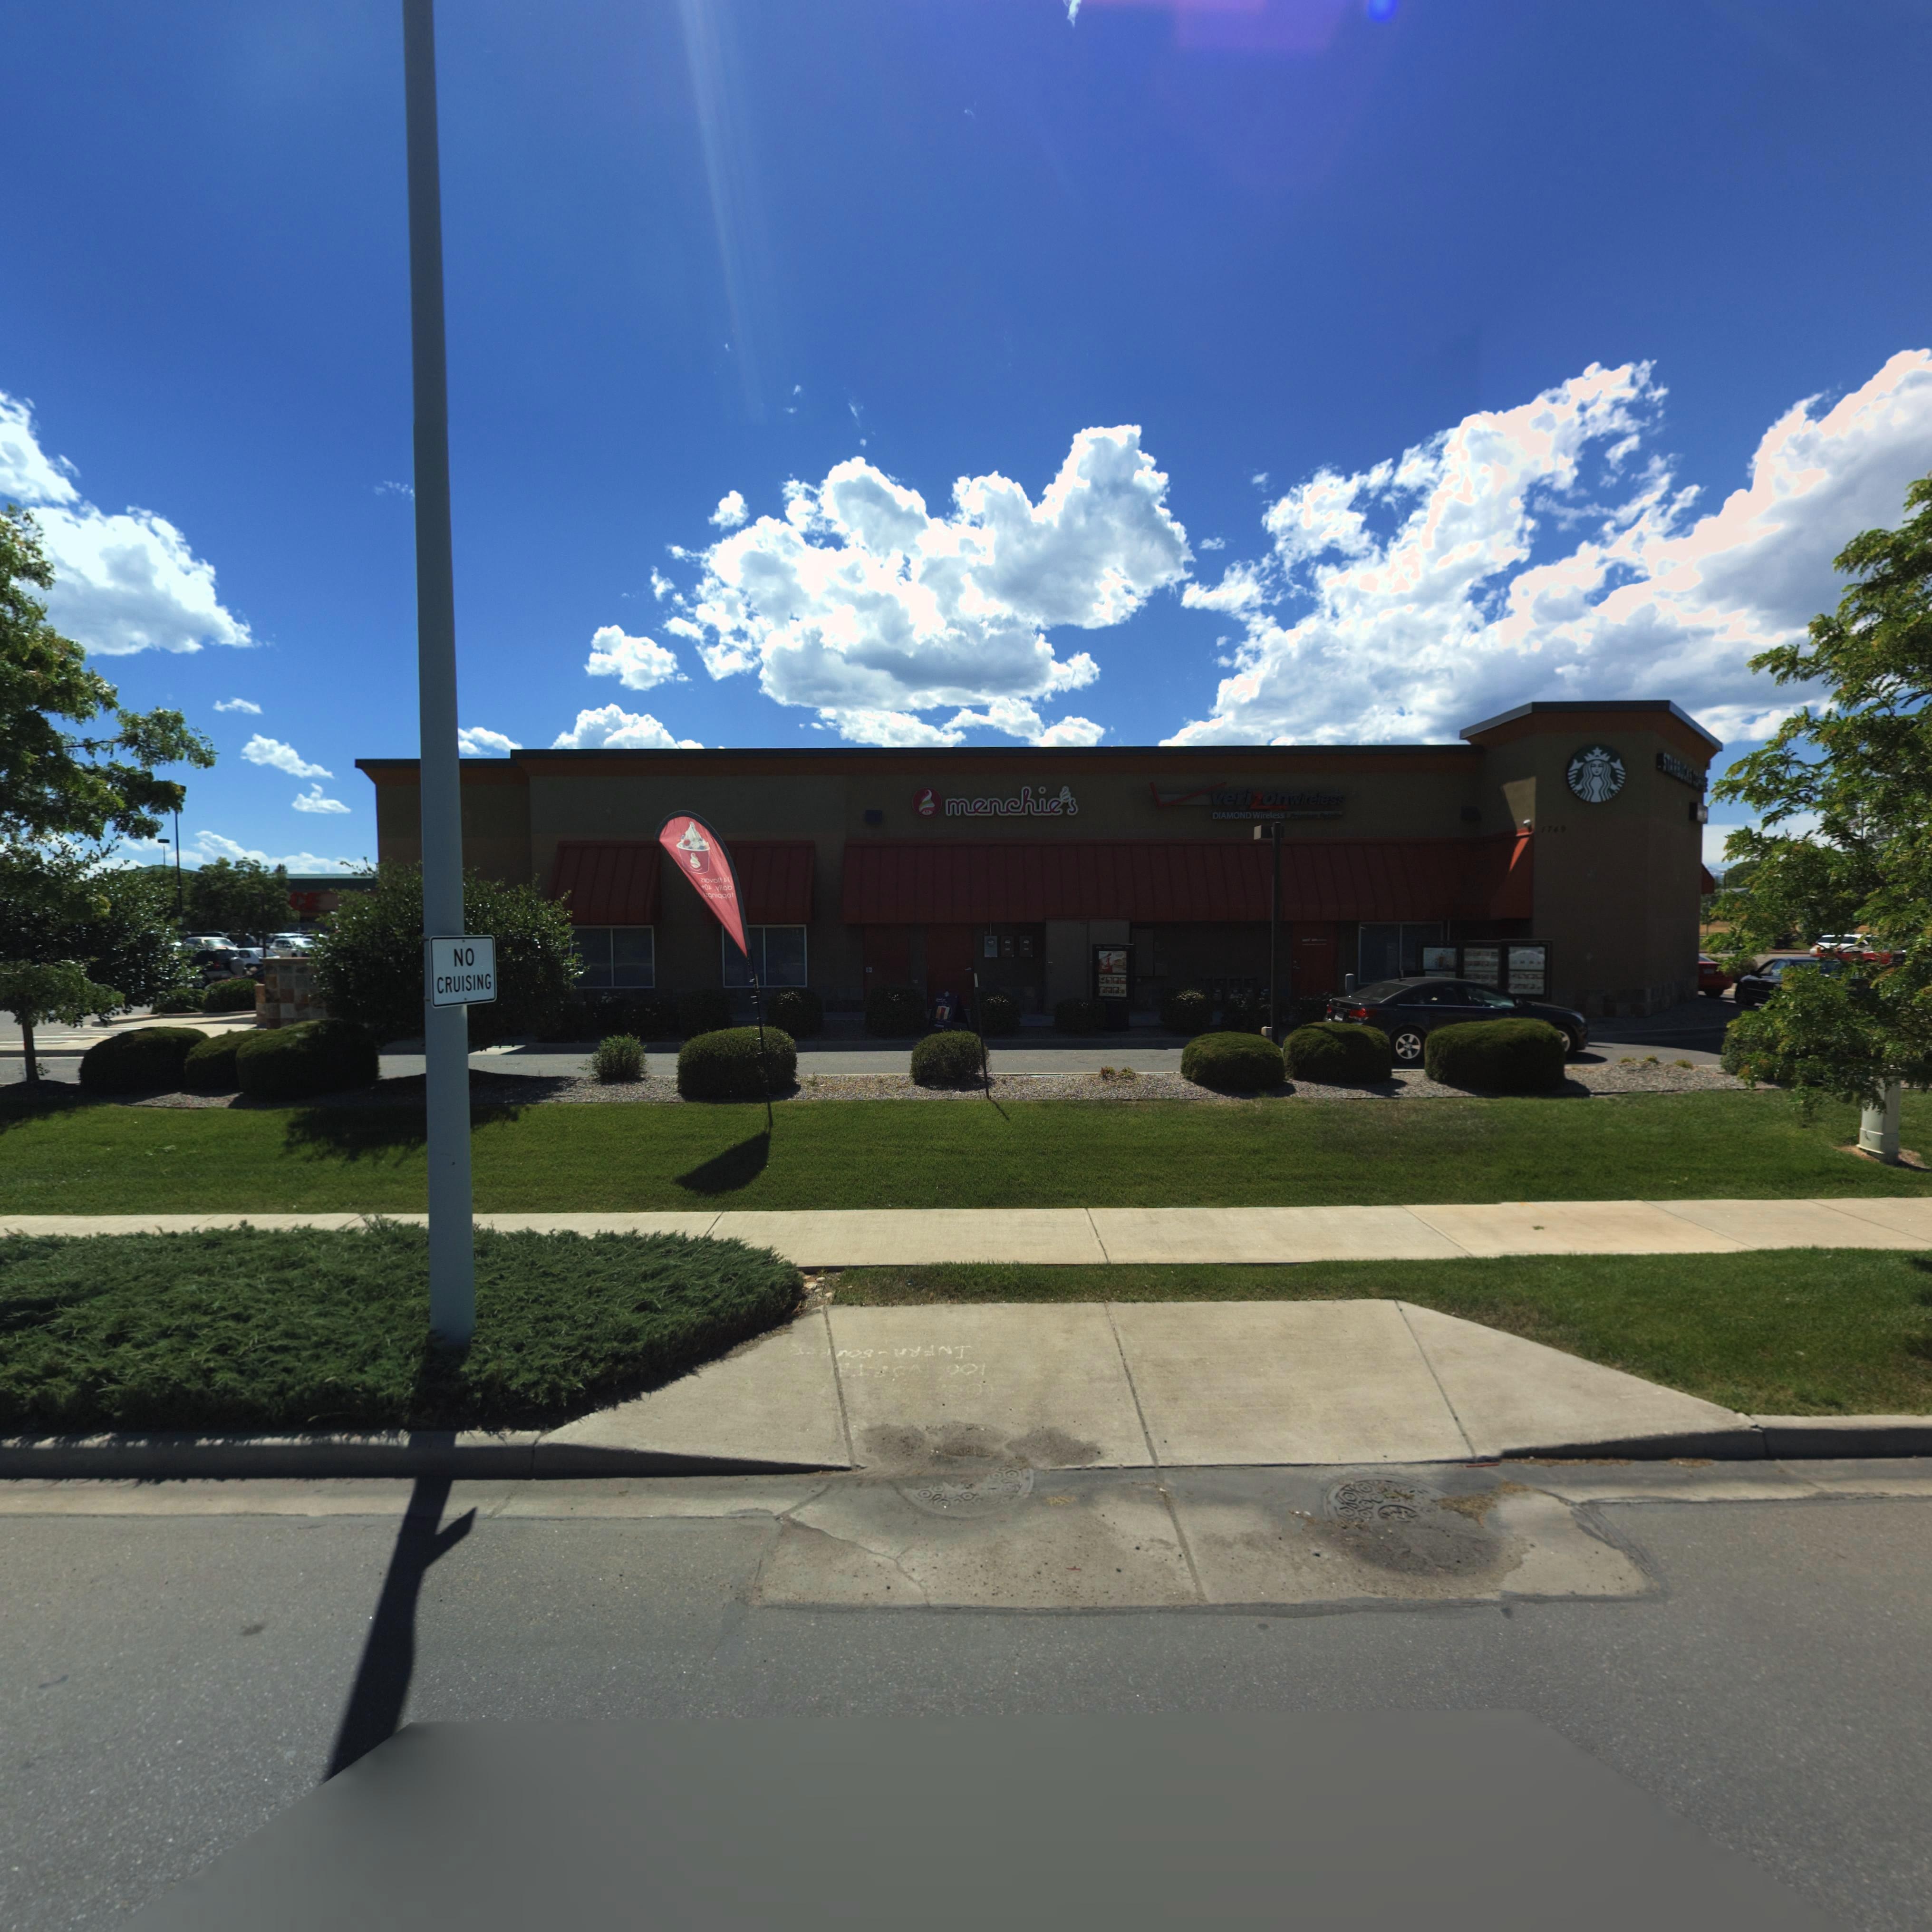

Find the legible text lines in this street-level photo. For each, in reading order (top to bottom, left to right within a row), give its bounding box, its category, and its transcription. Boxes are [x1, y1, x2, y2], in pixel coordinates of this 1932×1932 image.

[1660, 752, 1708, 791] BusinessName: STA*B***S CO****
[945, 784, 1079, 818] BusinessName: menchie*s
[1210, 786, 1289, 810] BusinessName: verizon
[1288, 792, 1347, 806] BusinessName: wireless
[1541, 824, 1567, 833] StreetNumber: 17*9
[287, 891, 320, 911] BusinessName: CE